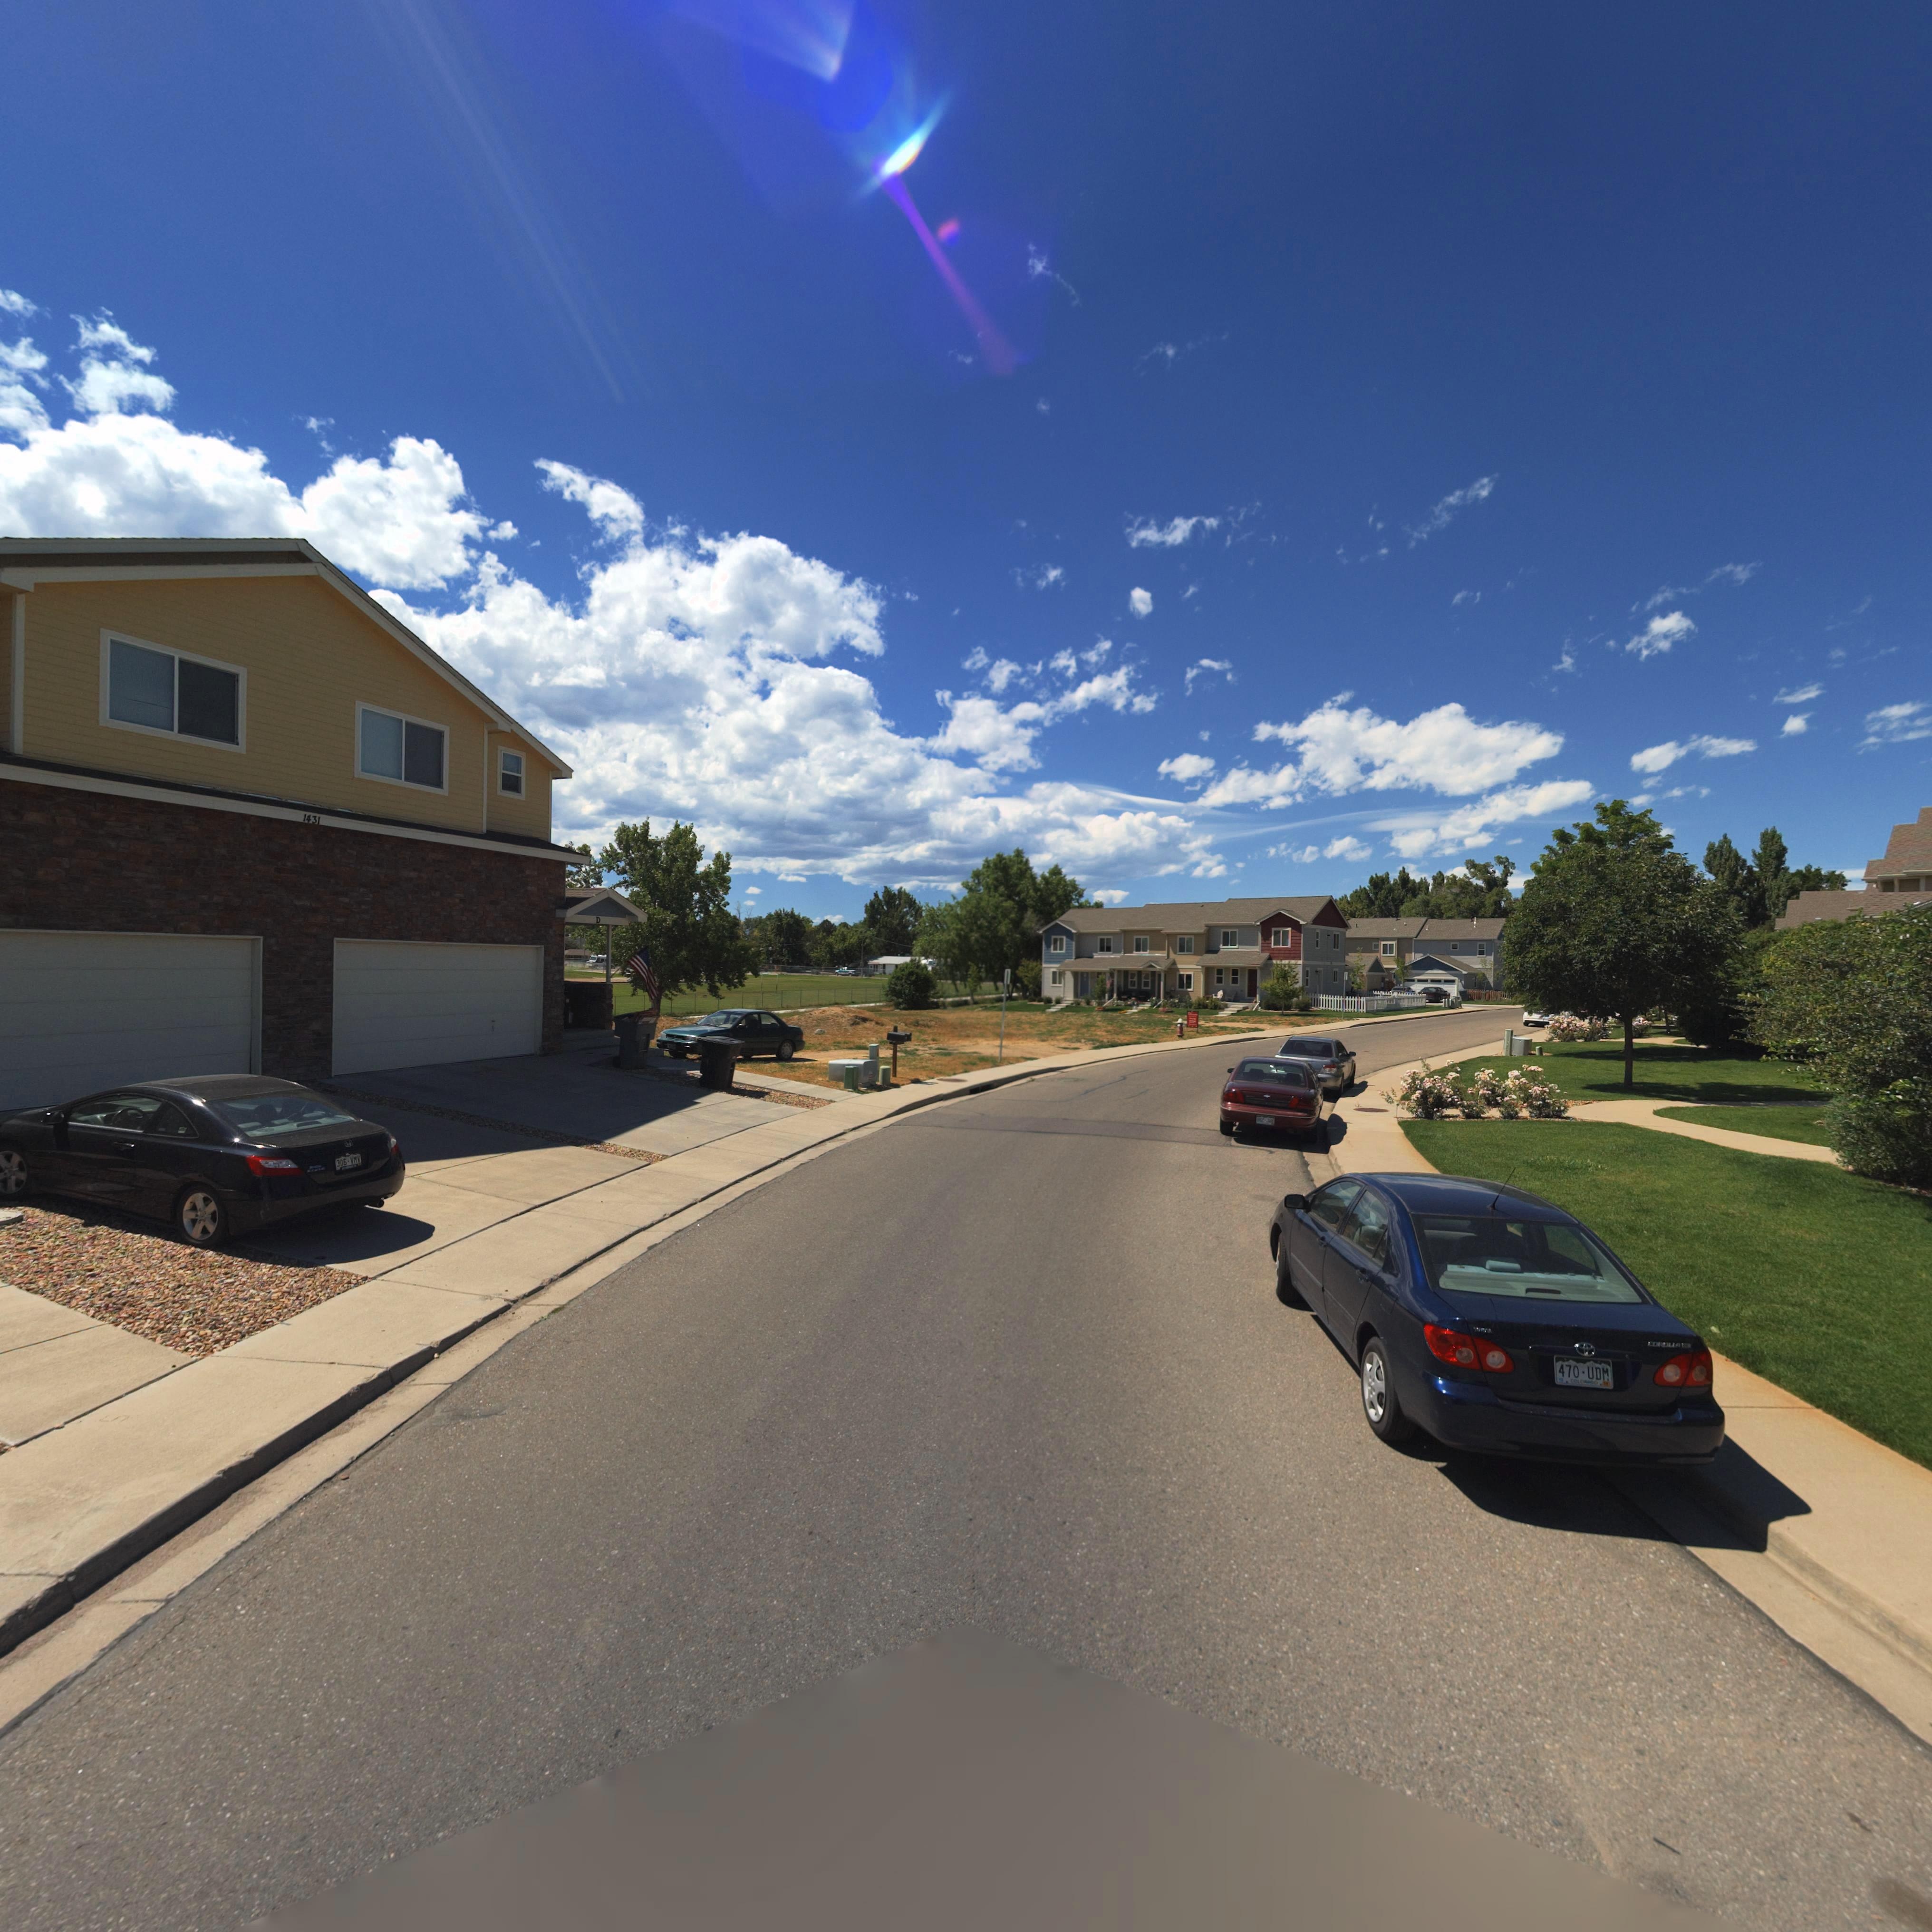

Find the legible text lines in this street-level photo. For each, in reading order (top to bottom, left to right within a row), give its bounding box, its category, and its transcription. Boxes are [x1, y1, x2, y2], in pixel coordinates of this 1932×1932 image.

[302, 812, 320, 825] StreetNumber: 1431
[595, 916, 600, 923] SecondaryUnitDesignator: D